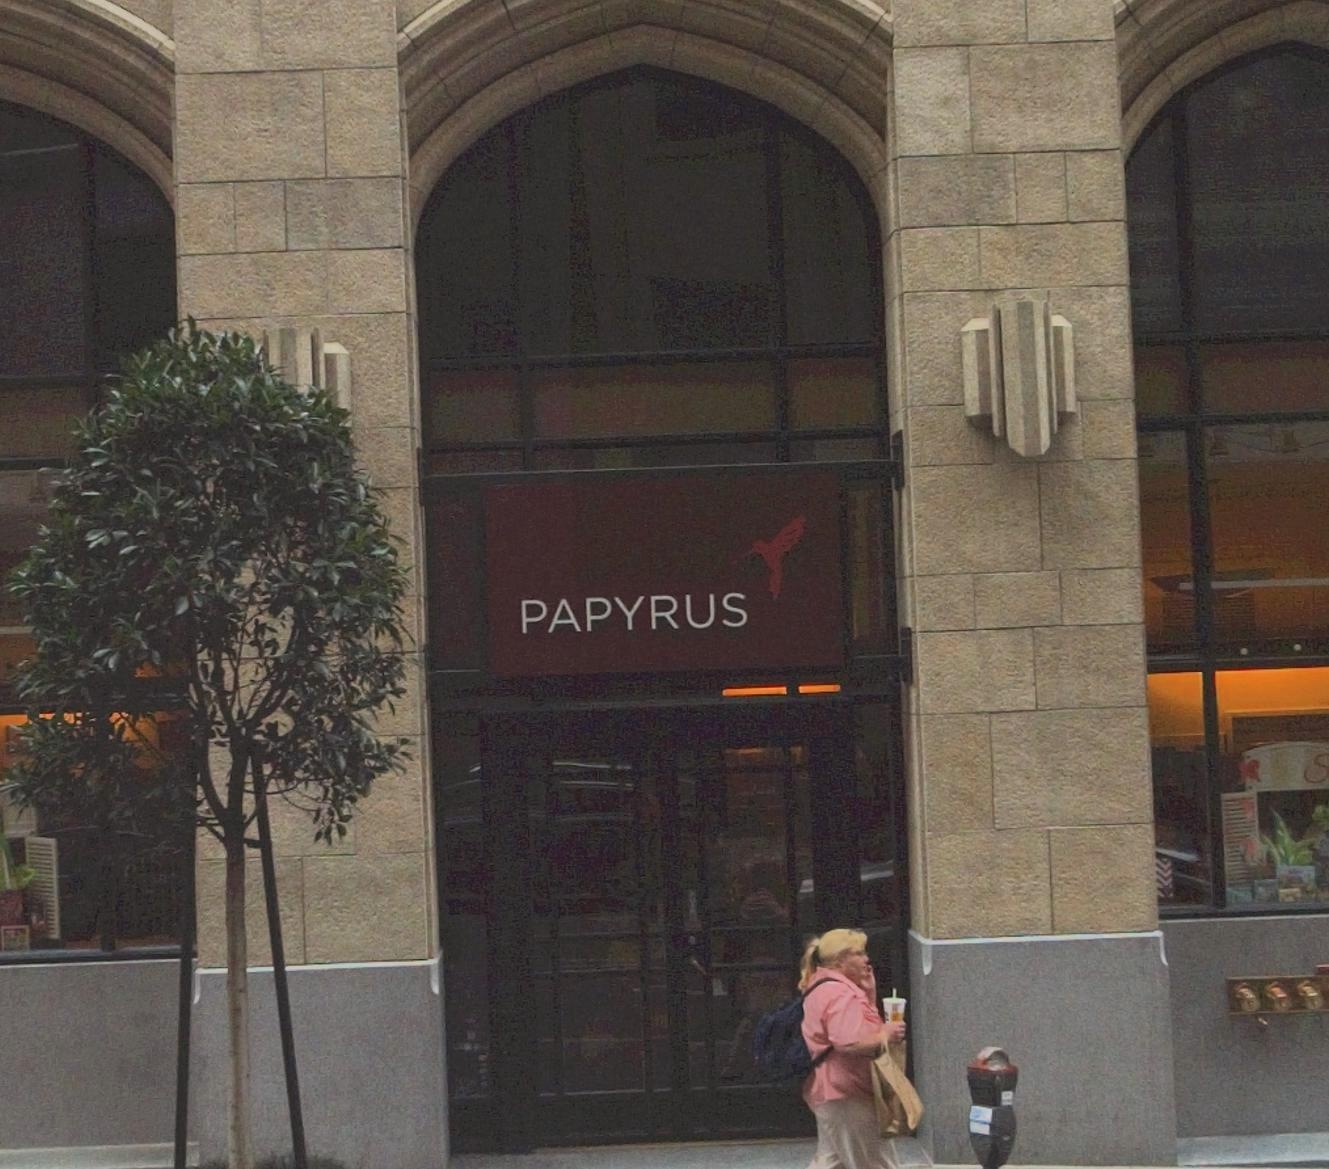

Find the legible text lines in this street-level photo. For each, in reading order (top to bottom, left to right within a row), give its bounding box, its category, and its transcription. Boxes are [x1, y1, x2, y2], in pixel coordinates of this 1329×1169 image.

[519, 590, 751, 636] BusinessName: PAPYRUS